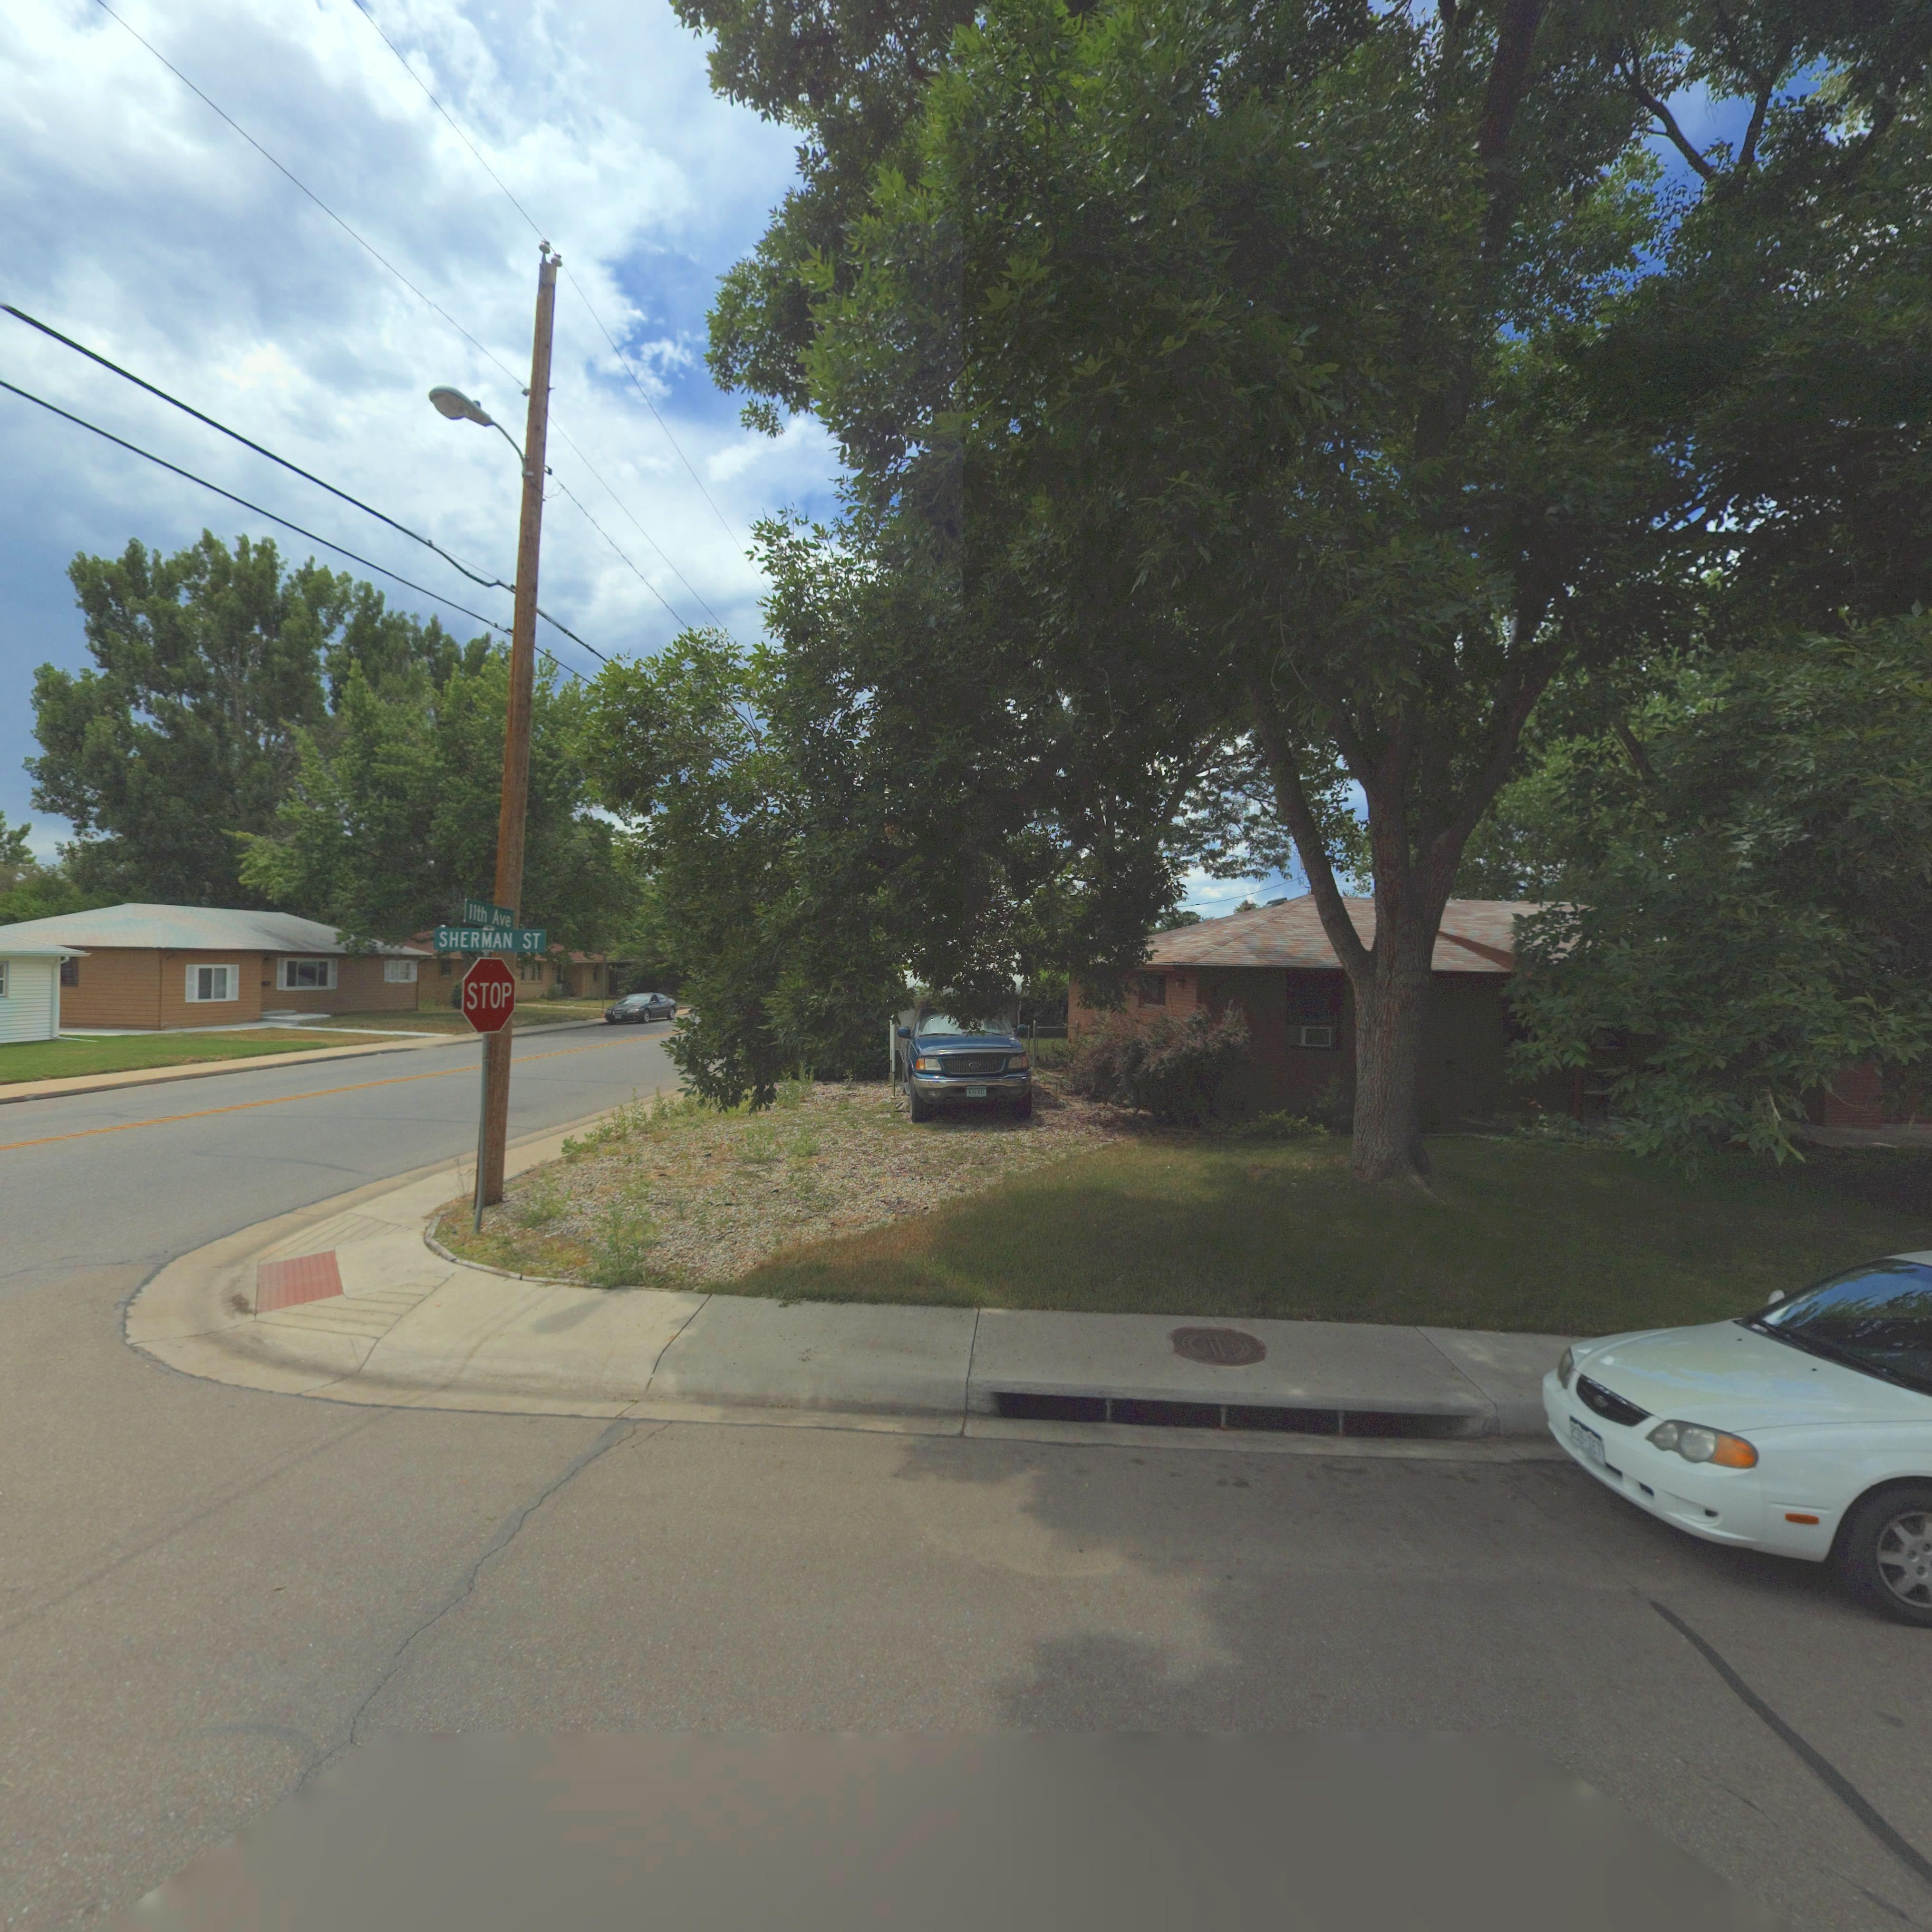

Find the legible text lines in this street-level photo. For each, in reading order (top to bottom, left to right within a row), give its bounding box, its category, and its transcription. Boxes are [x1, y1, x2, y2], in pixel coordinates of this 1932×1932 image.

[466, 902, 512, 928] StreetName: 11th Ave
[438, 931, 542, 950] StreetName: SHERMAN ST